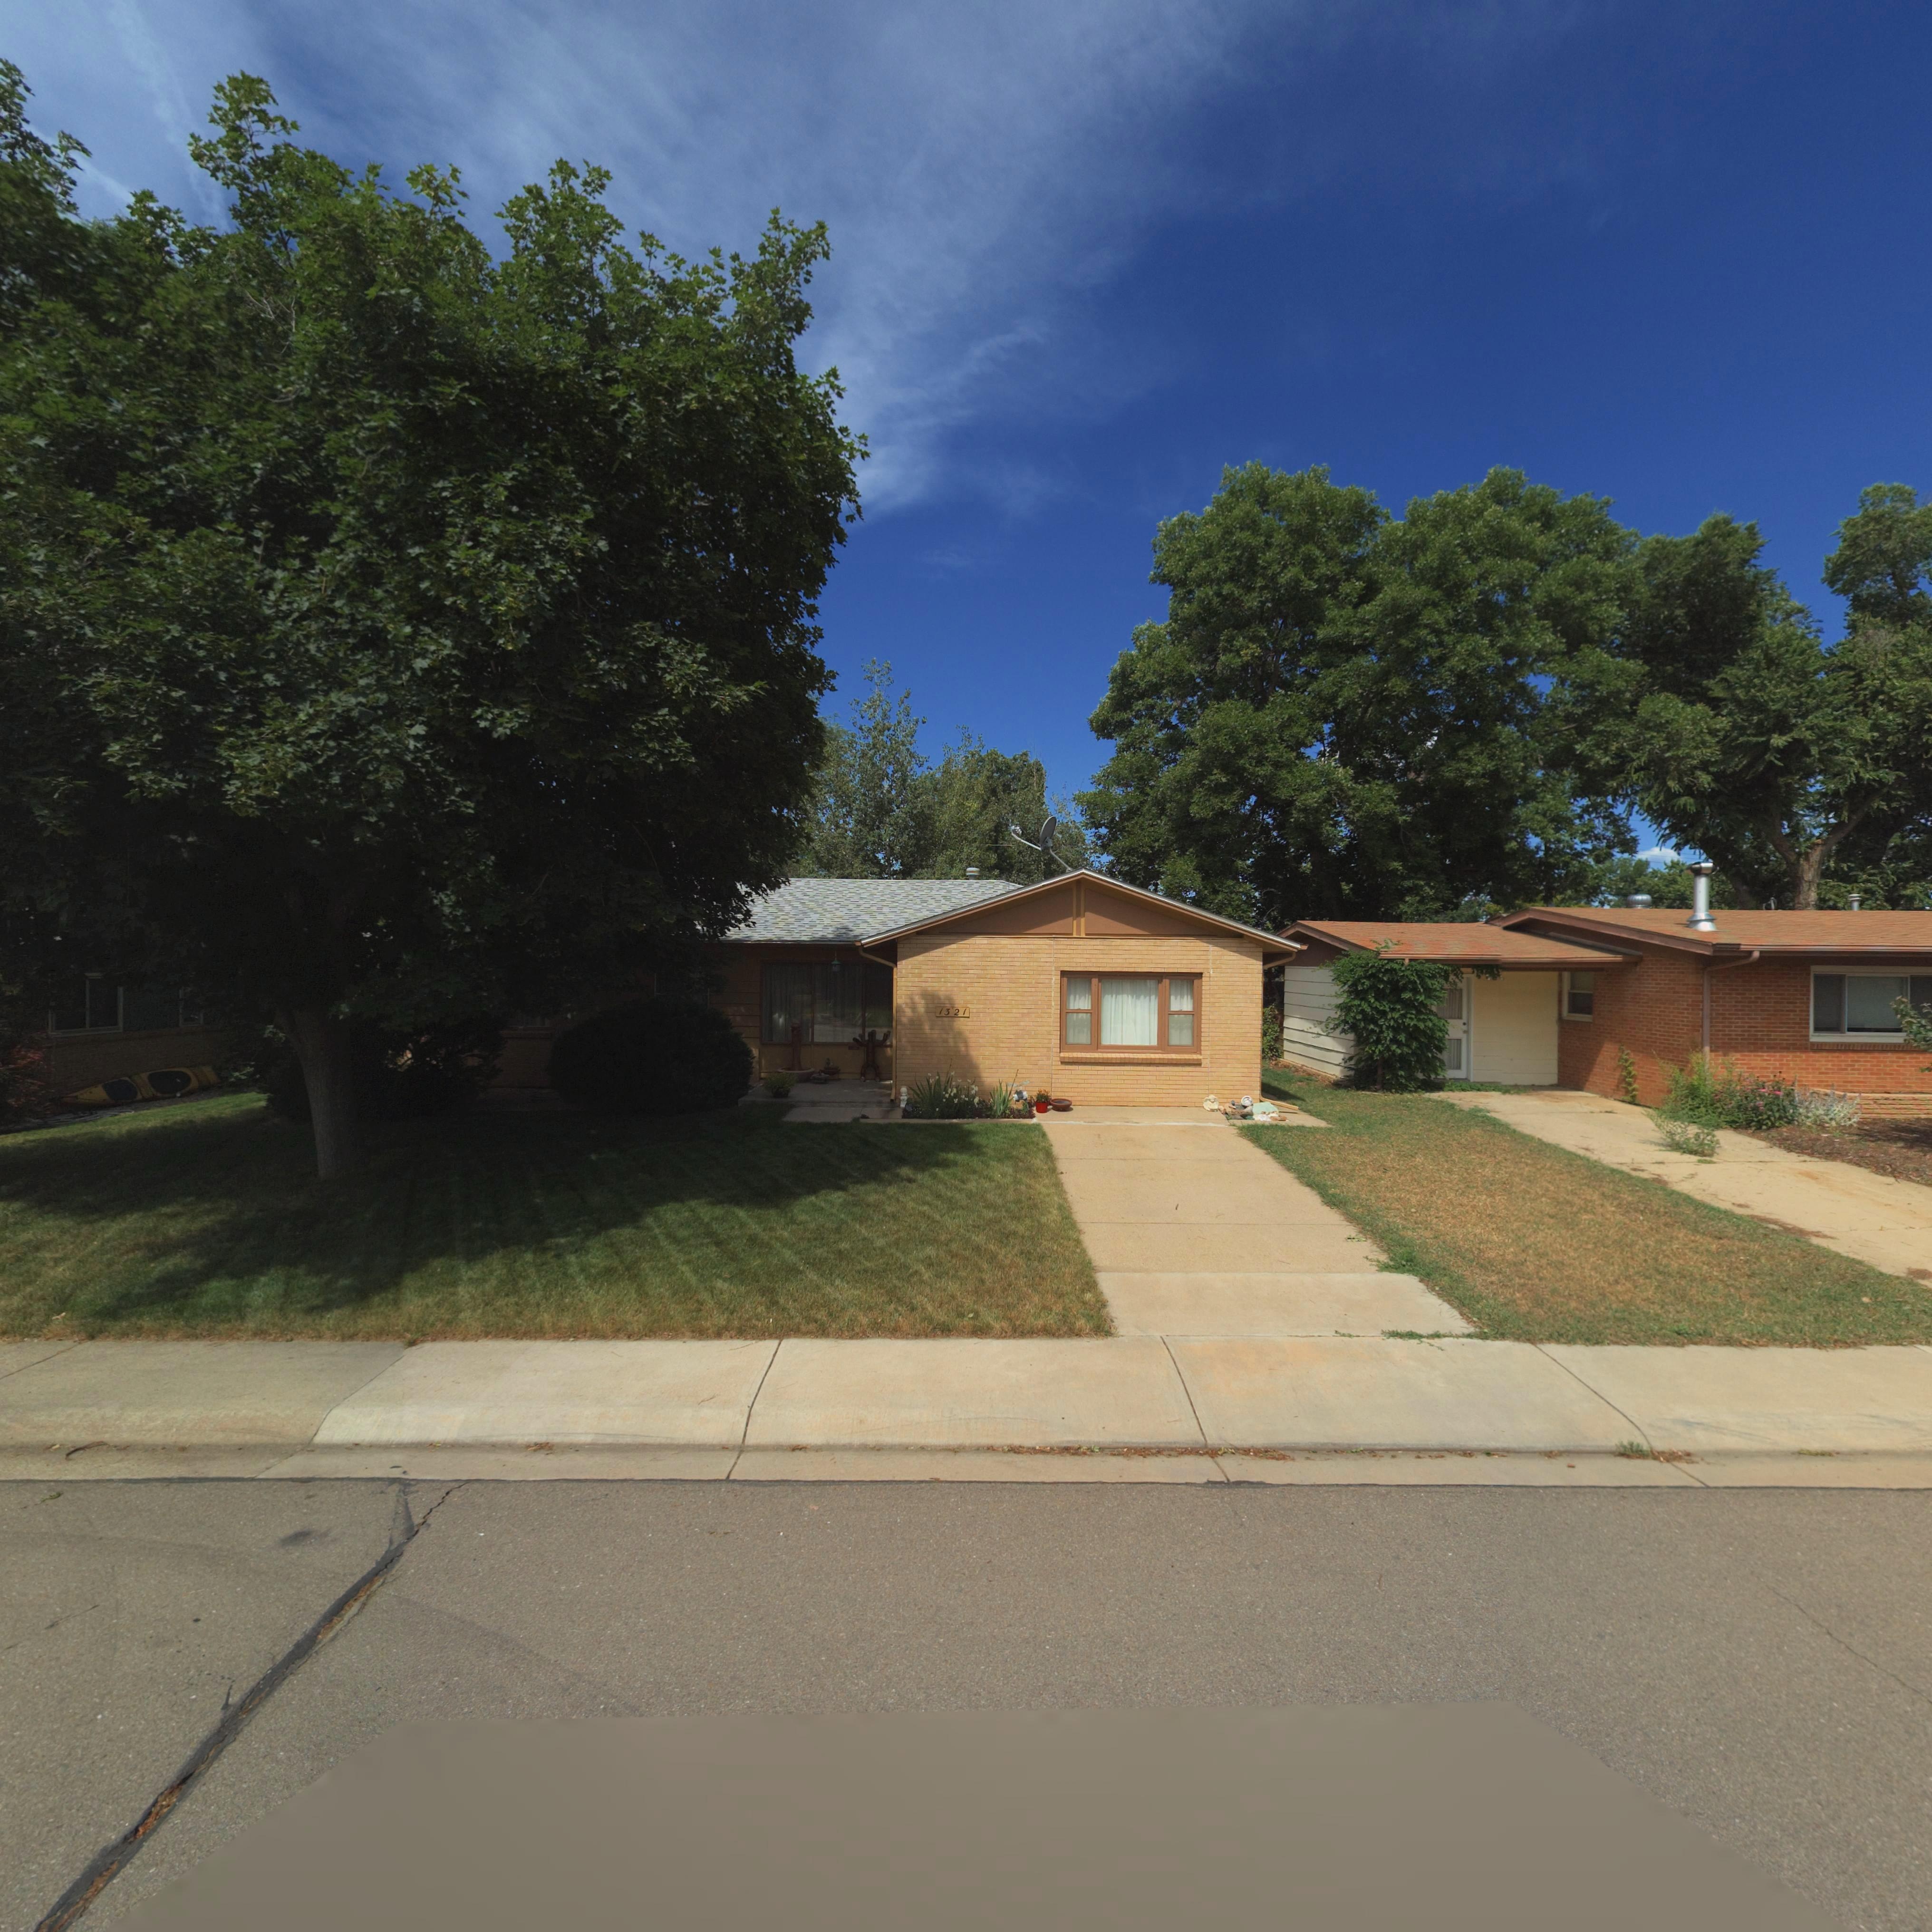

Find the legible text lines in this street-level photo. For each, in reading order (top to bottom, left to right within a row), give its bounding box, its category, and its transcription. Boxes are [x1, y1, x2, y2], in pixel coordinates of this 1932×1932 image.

[938, 1007, 967, 1015] StreetNumber: 1321